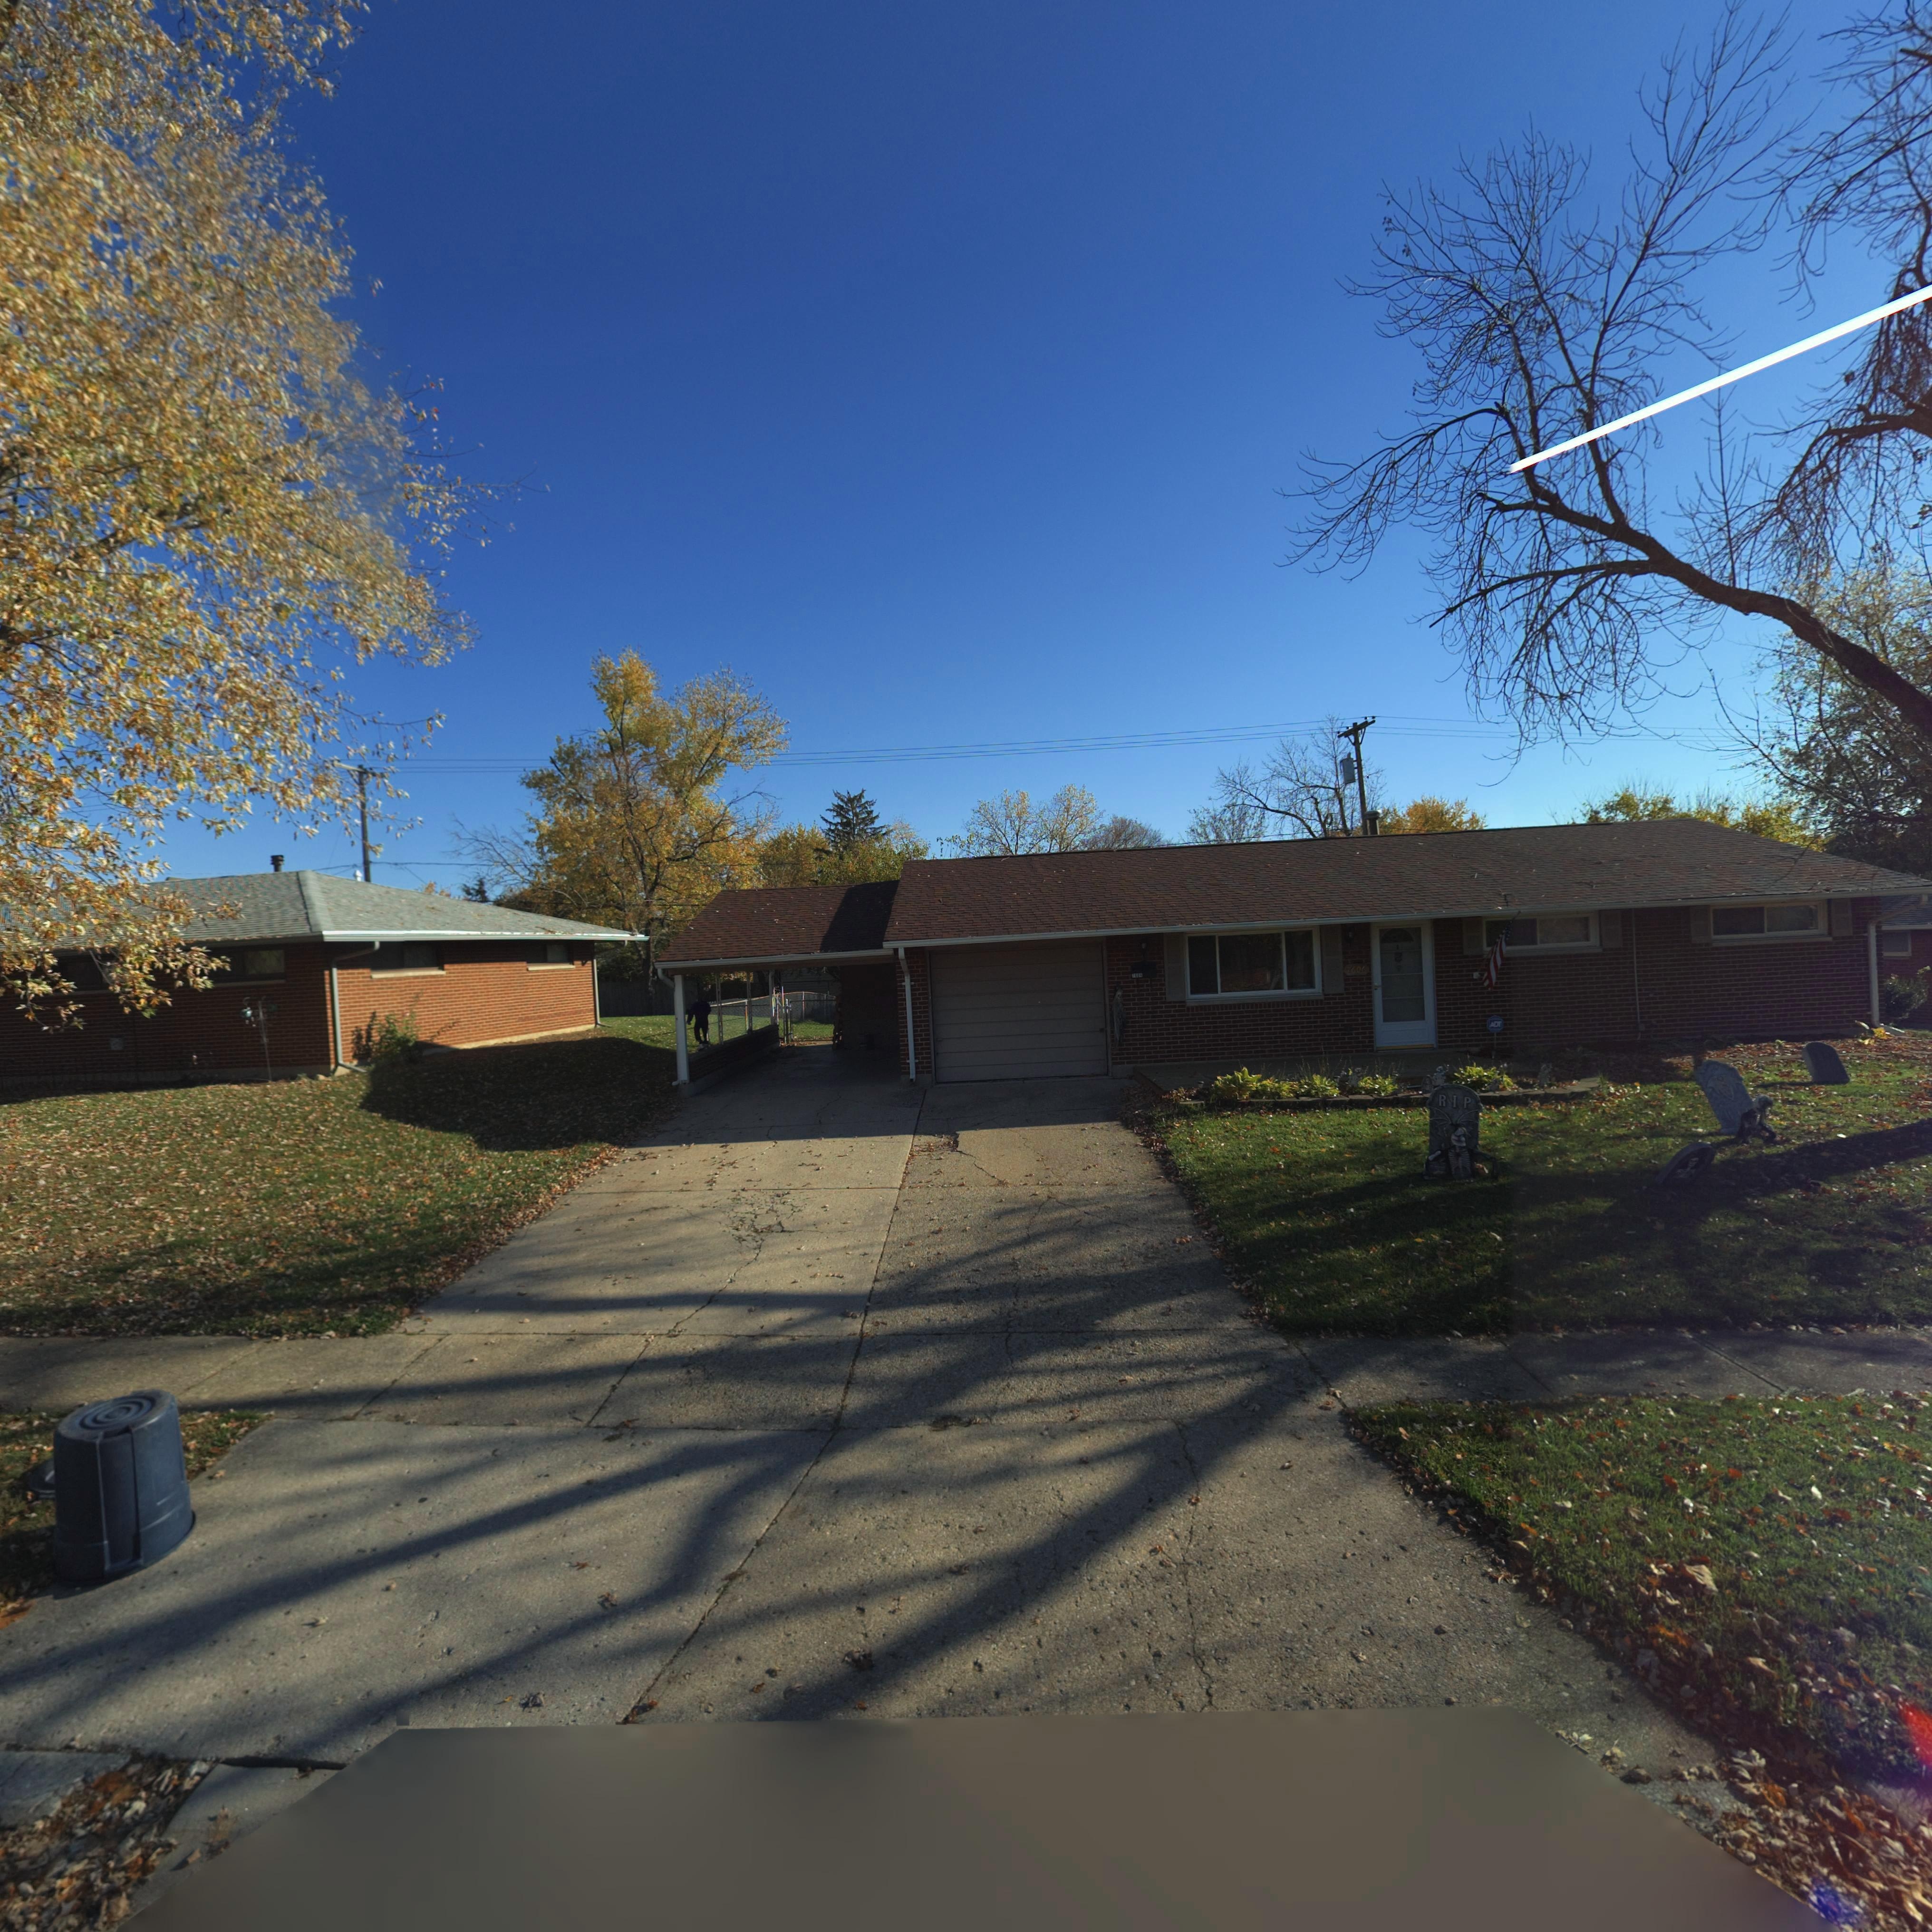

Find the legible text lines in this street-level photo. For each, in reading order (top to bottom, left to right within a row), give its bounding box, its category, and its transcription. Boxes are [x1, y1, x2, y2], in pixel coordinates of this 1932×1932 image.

[1345, 965, 1368, 975] StreetNumber: *606